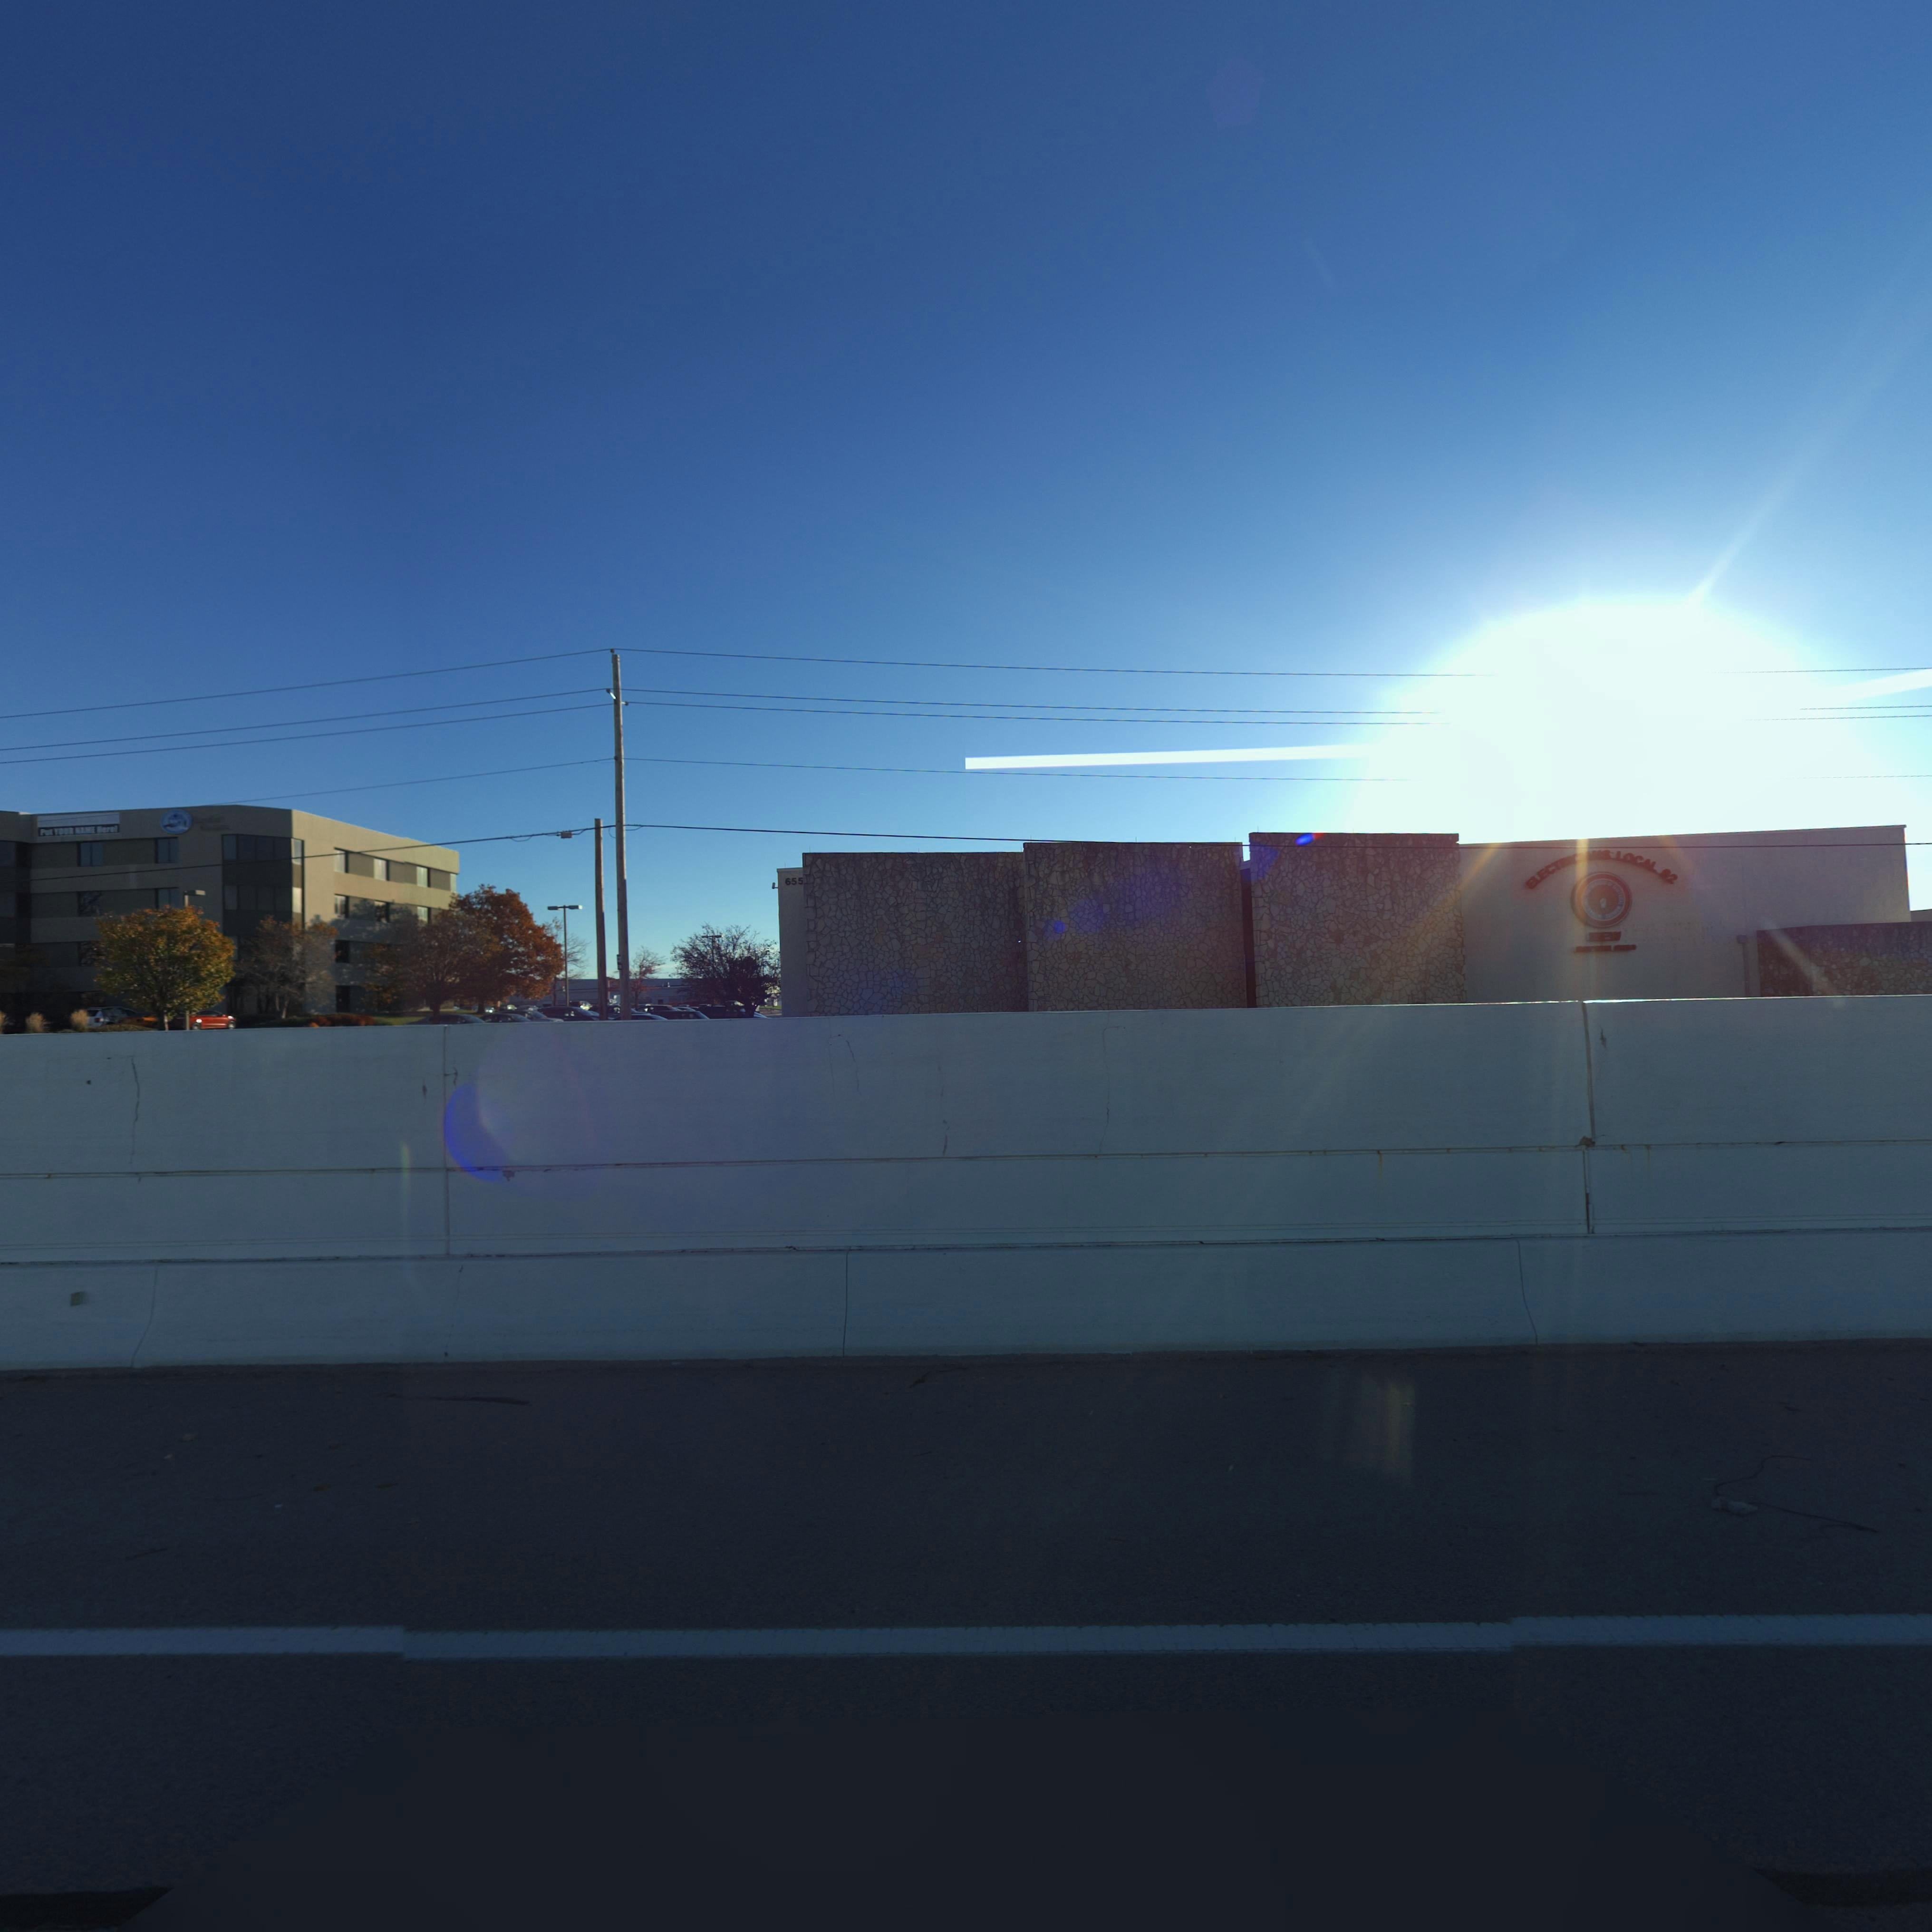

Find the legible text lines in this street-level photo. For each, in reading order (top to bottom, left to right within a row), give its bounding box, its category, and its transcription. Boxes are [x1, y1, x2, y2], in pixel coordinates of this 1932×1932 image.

[784, 876, 804, 887] StreetNumber: 655
[1522, 847, 1680, 890] None: ELECTRICIANS LOCAL 82